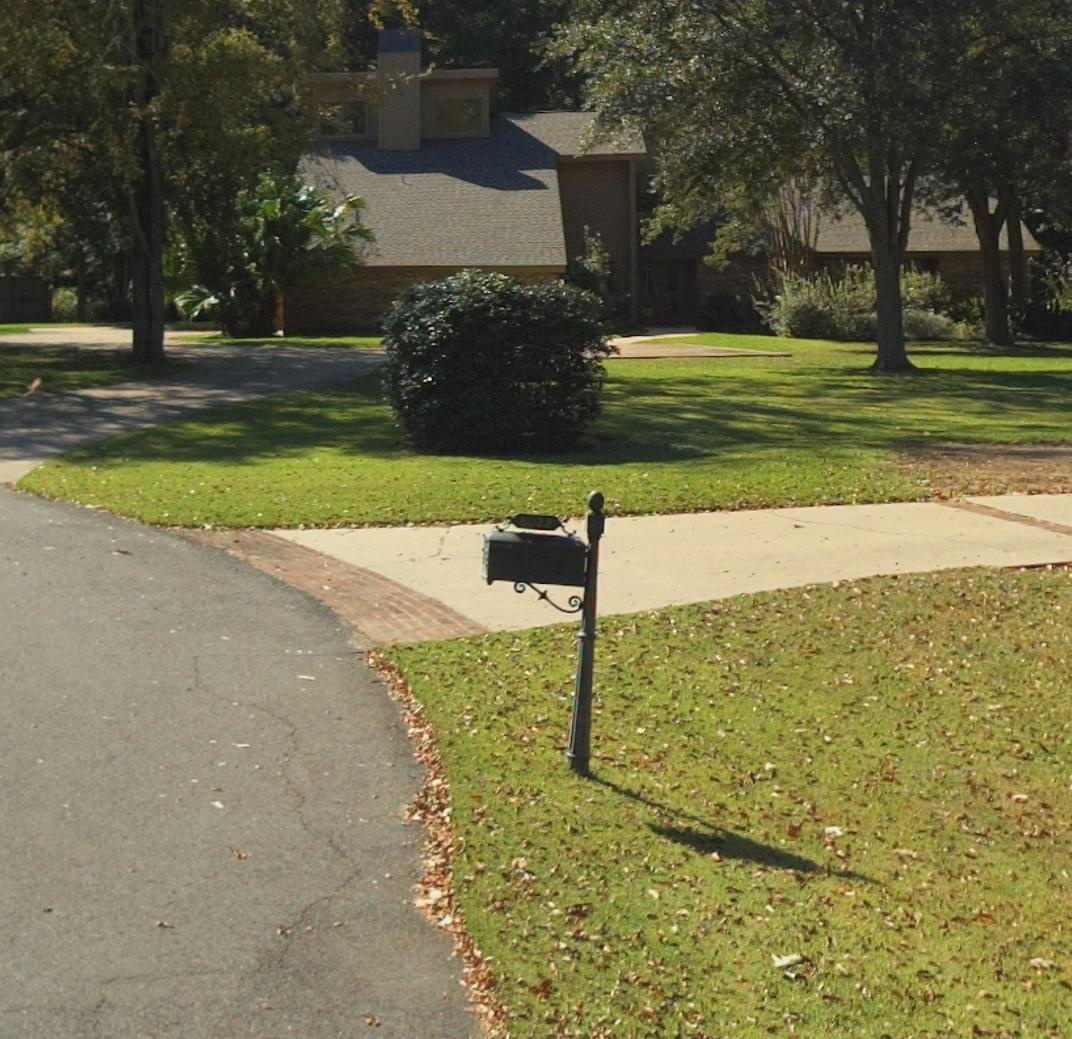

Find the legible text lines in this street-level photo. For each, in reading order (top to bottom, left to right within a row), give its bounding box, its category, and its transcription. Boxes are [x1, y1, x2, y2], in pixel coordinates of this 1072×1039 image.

[520, 515, 554, 529] StreetNumber: 8022